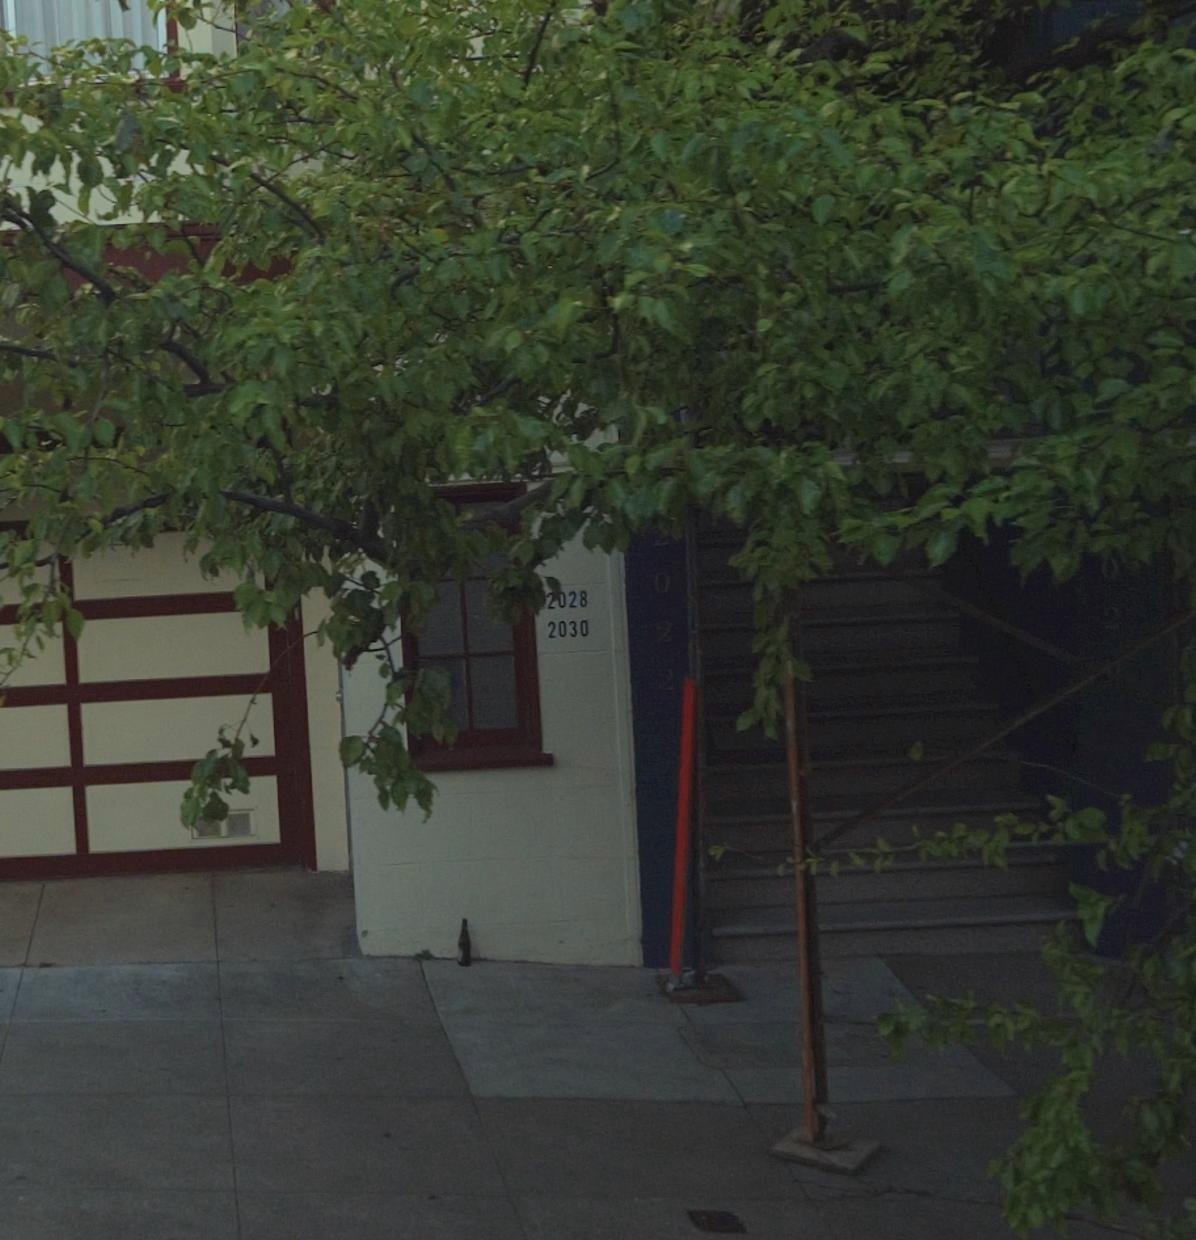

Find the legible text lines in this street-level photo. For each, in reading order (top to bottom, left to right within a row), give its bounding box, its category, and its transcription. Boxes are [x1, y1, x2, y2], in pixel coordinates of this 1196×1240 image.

[542, 588, 591, 610] StreetNumber: 2028
[647, 516, 677, 697] StreetNumber: 2022
[544, 617, 591, 640] StreetNumber: 2030